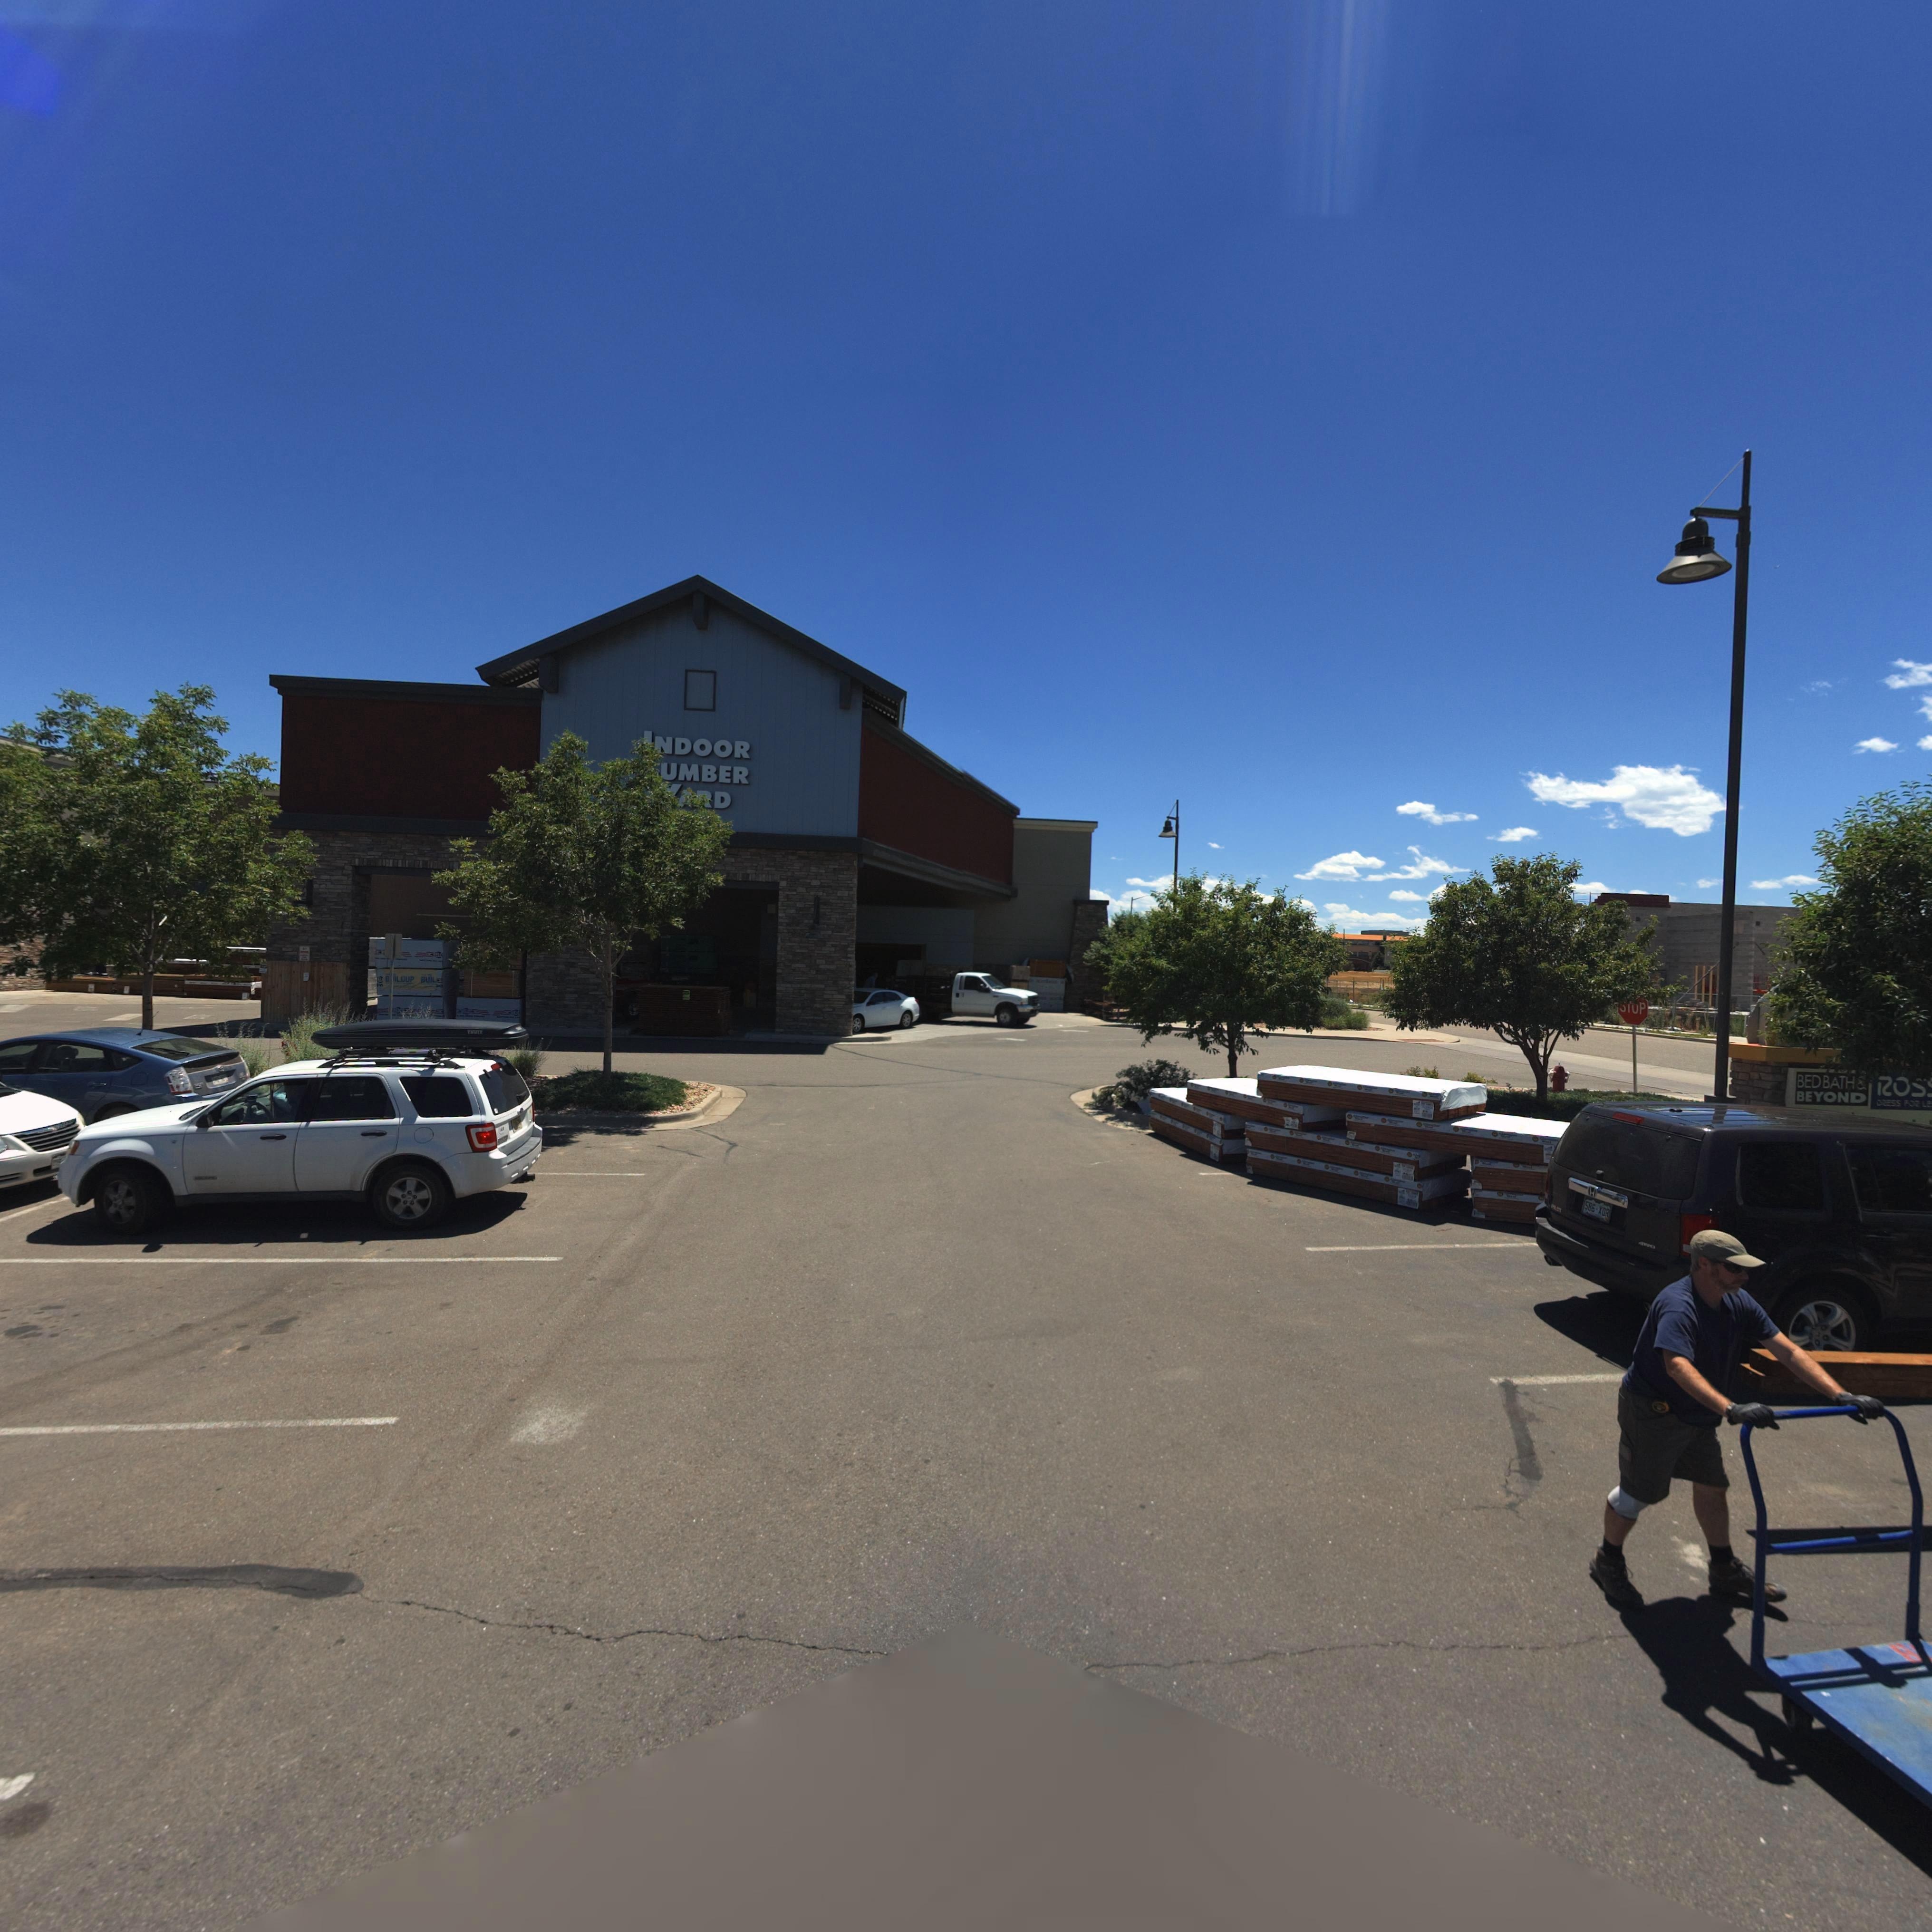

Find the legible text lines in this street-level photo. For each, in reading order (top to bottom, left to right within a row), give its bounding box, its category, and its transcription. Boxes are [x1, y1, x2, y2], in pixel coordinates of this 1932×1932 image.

[1796, 1072, 1868, 1091] BusinessName: BEDBATH&
[1876, 1075, 1928, 1098] BusinessName: ROS
[1796, 1090, 1867, 1103] BusinessName: BEYOND